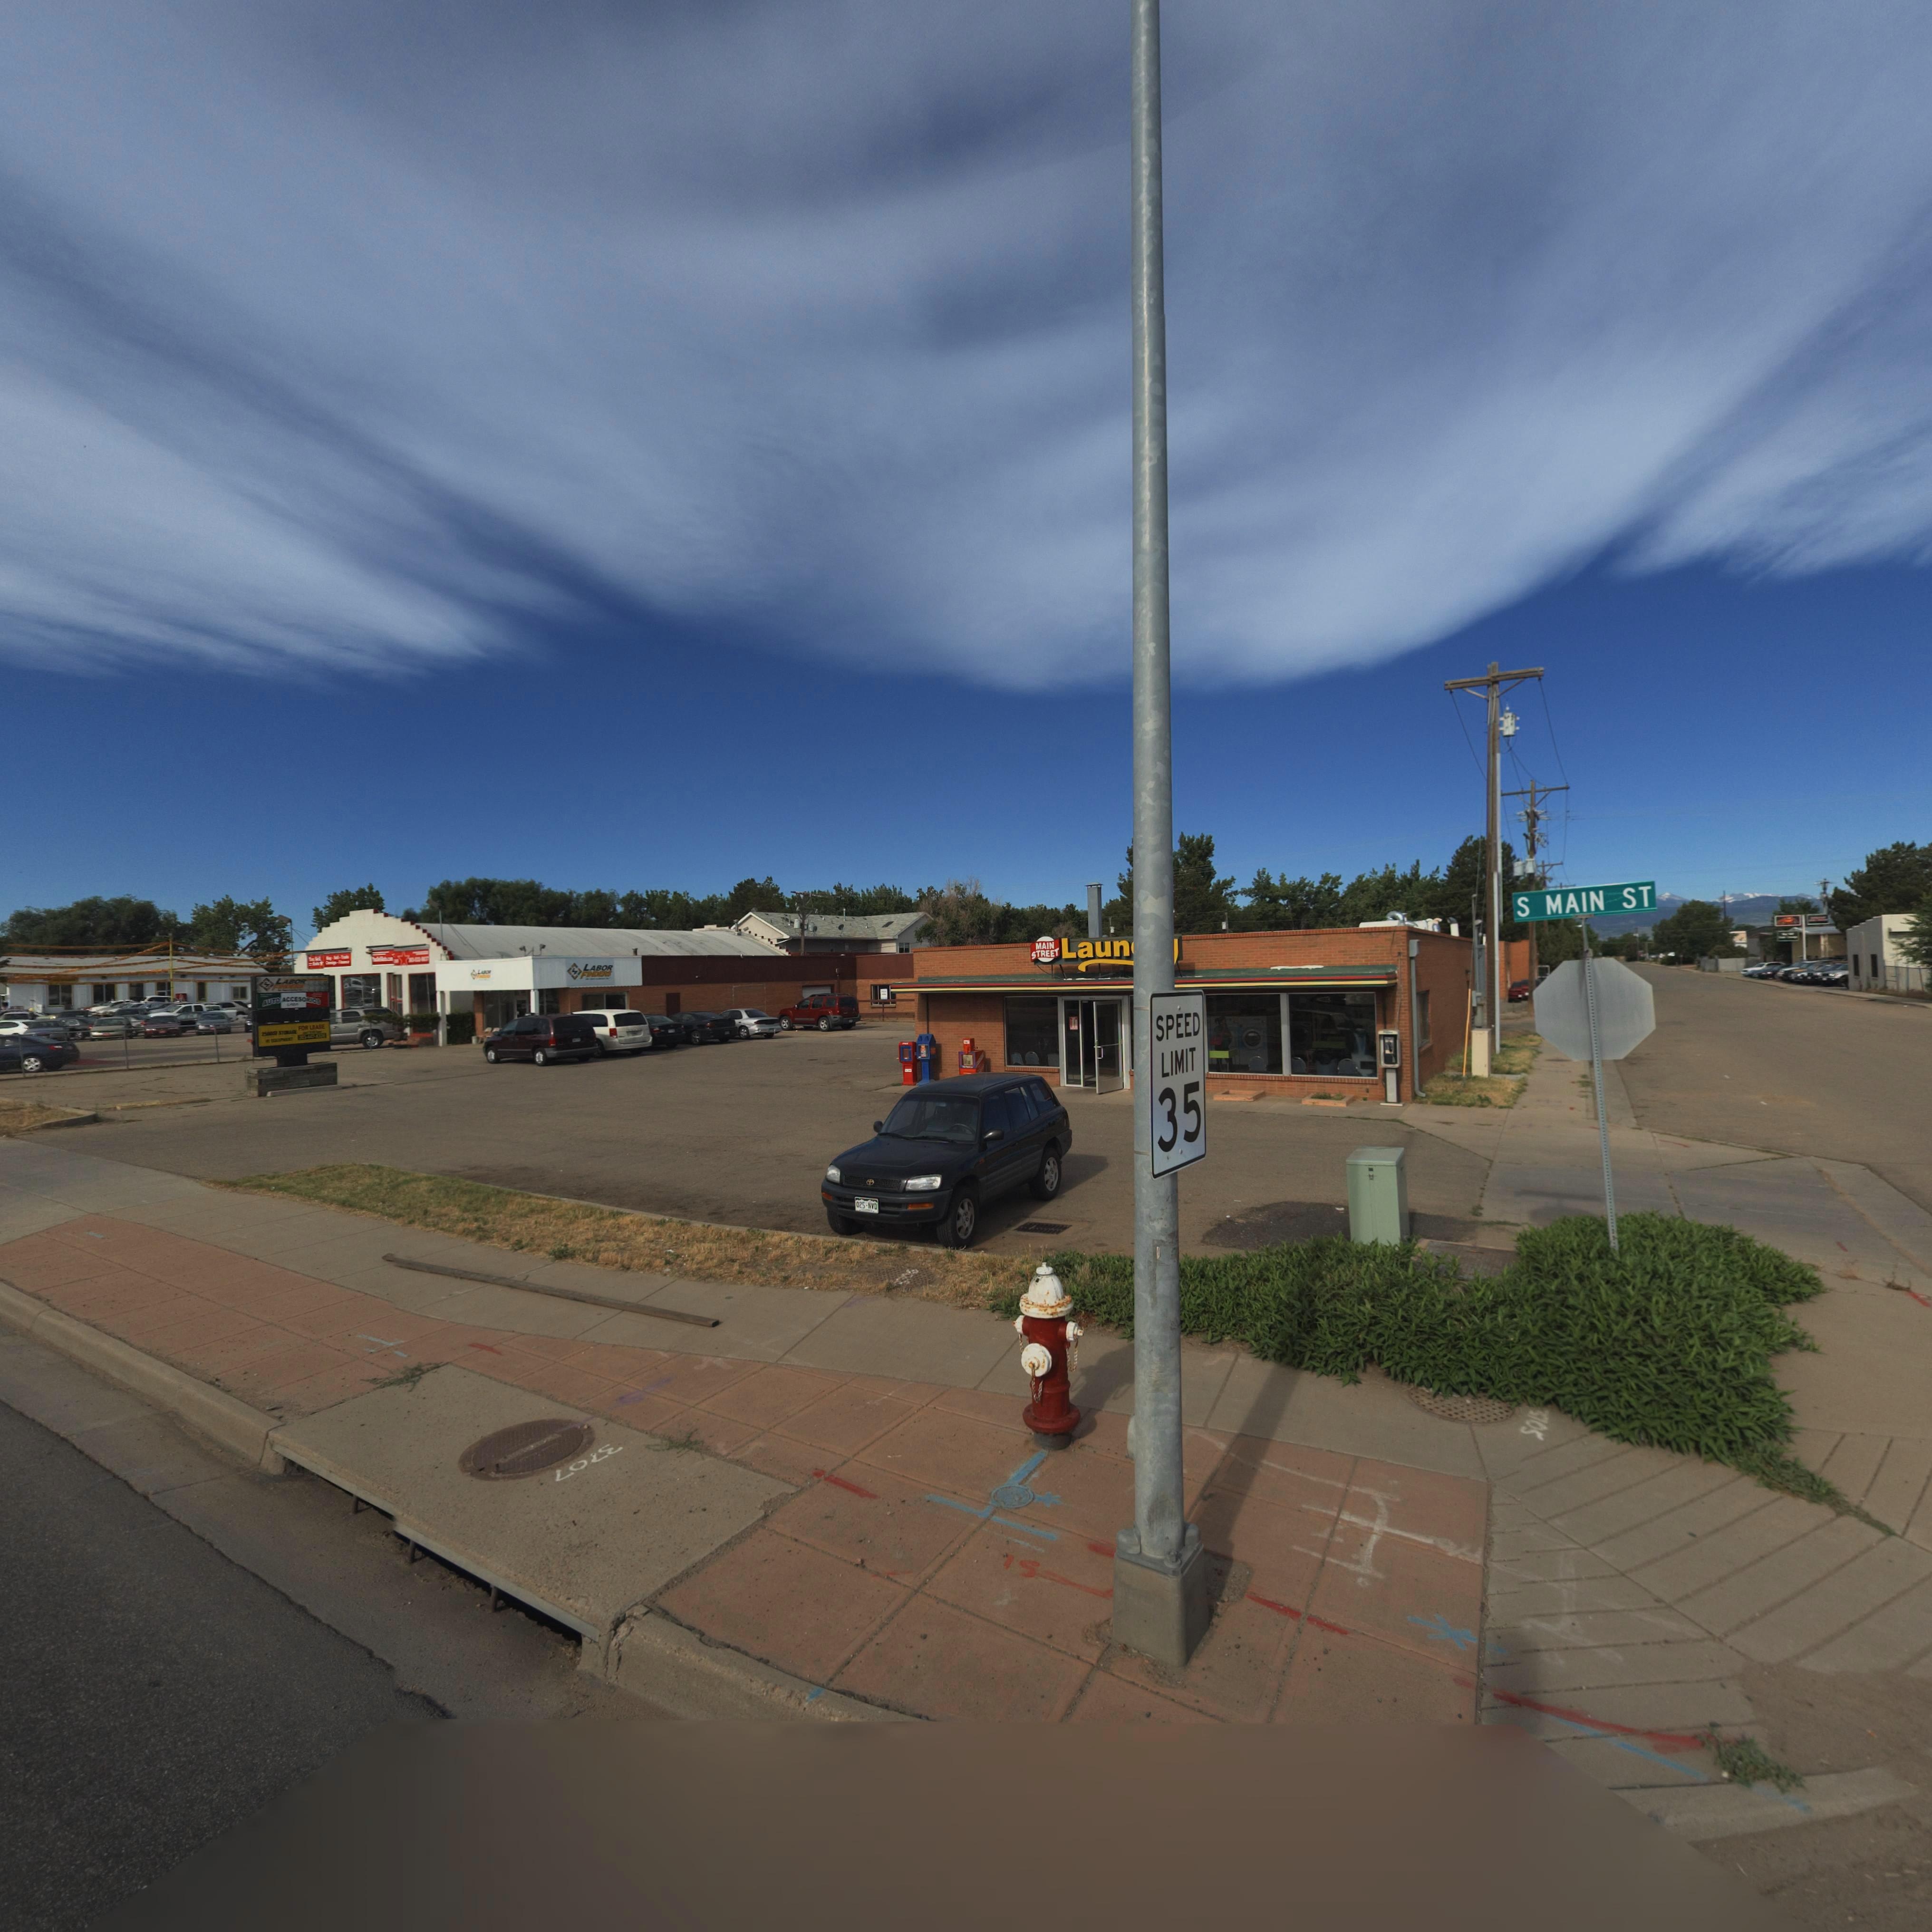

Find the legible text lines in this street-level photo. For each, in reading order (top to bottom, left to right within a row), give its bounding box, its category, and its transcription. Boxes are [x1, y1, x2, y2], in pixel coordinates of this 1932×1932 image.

[1517, 886, 1652, 917] StreetName: S MAIN ST
[1035, 941, 1054, 950] BusinessName: MAIN
[1061, 937, 1179, 958] BusinessName: Laun***
[1031, 947, 1059, 959] BusinessName: STREET
[583, 964, 613, 971] BusinessName: LABOR
[477, 969, 491, 974] BusinessName: LA***
[580, 970, 612, 979] BusinessName: FINDERS
[275, 977, 307, 984] BusinessName: LABOR
[262, 996, 321, 1005] BusinessName: AUTO ACCESORIOS